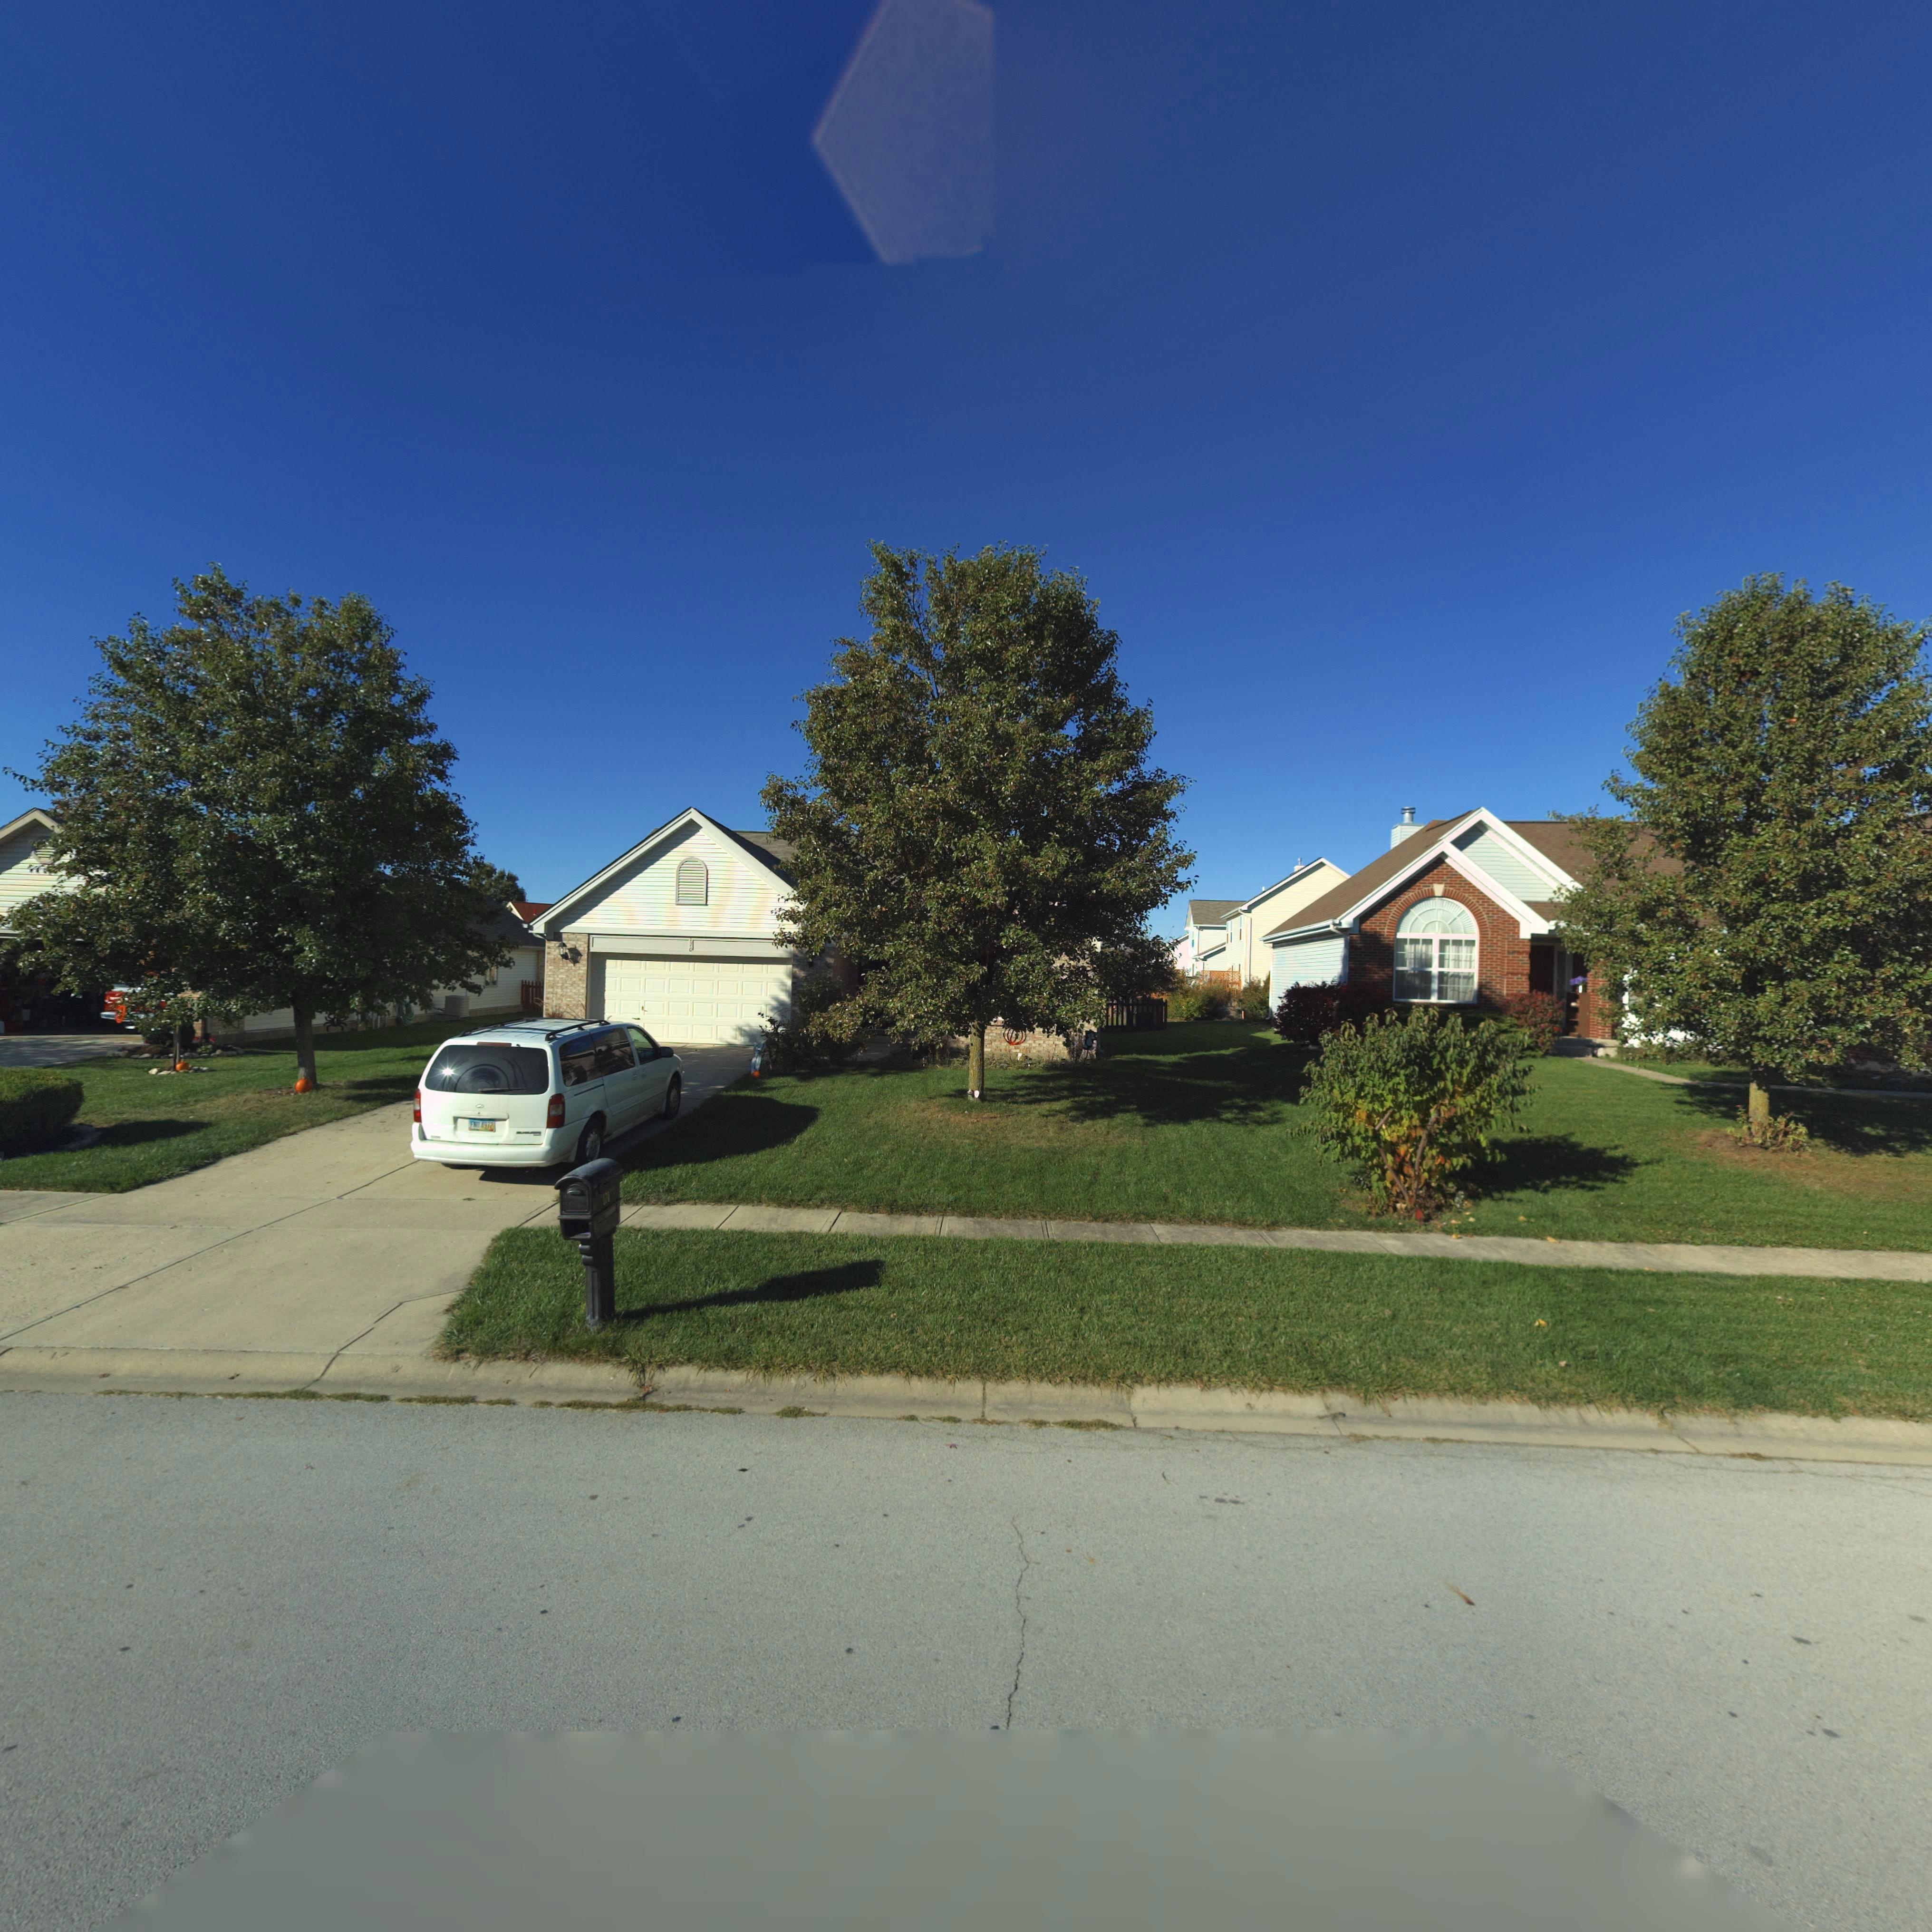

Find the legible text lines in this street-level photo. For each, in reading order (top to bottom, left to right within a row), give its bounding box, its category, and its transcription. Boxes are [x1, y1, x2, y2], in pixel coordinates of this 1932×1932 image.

[688, 937, 694, 953] StreetNumber: 170